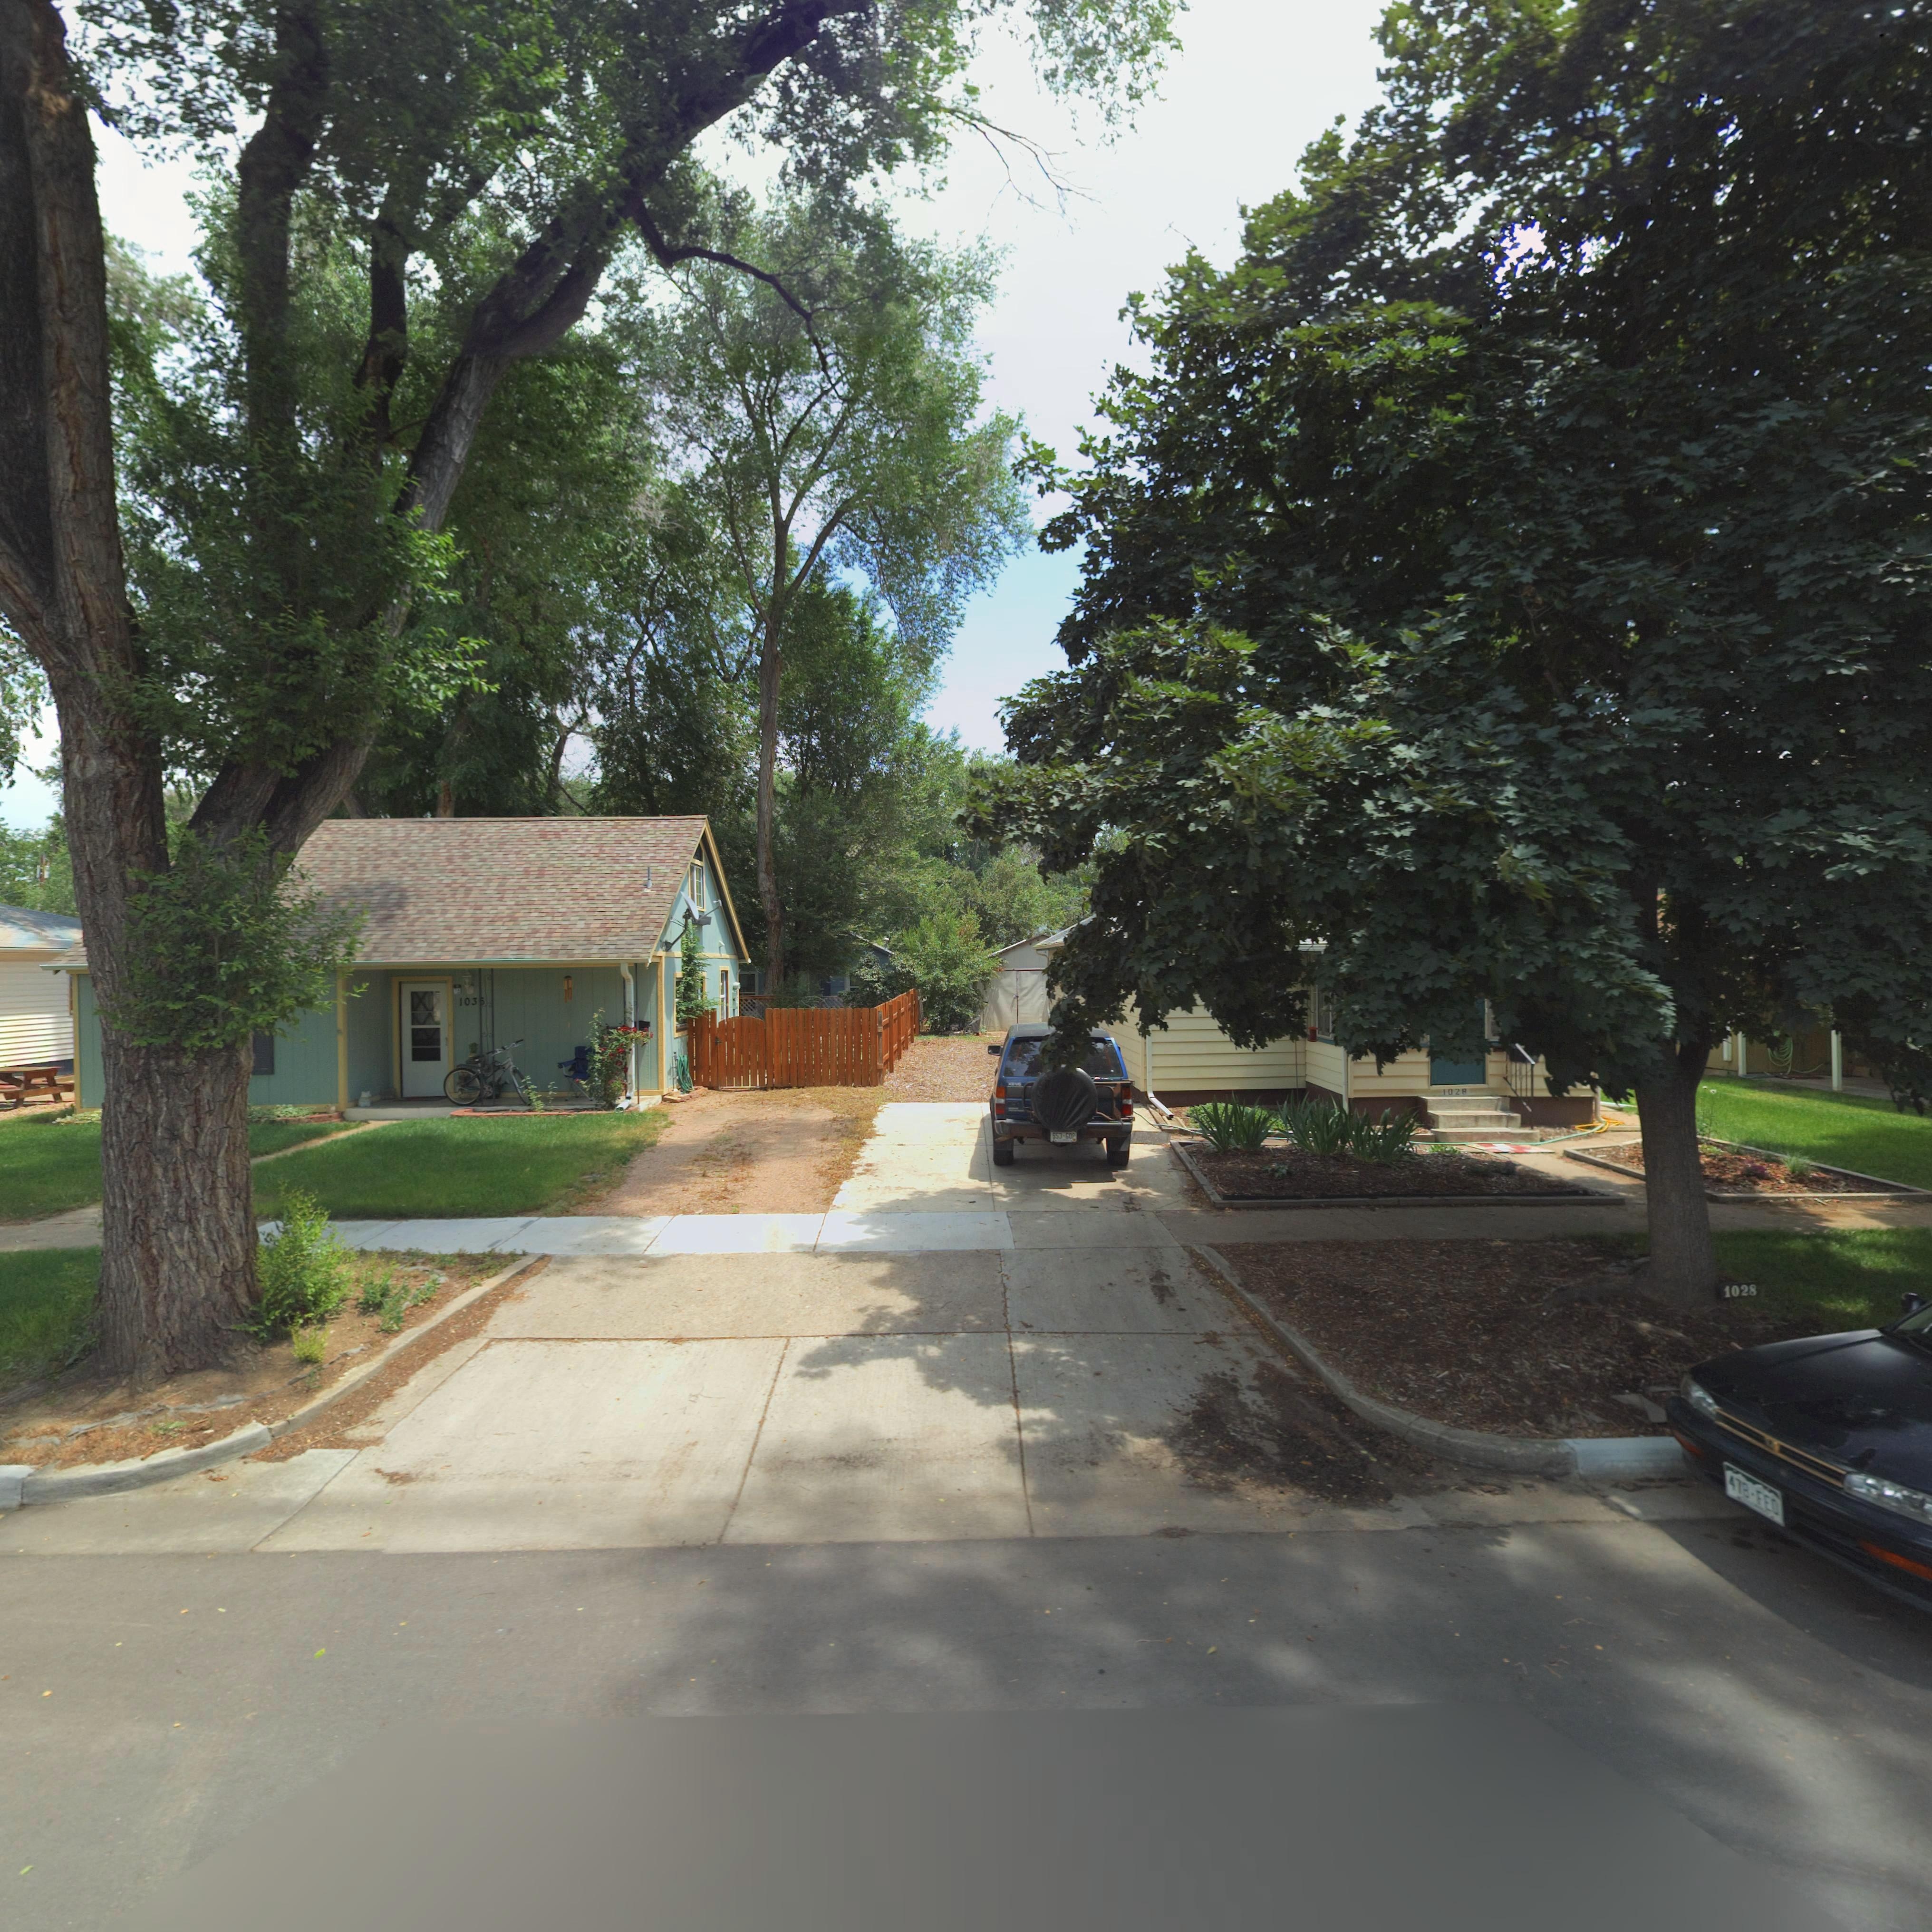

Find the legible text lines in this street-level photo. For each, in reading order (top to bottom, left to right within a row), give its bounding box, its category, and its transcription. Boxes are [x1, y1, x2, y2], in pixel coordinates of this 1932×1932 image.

[459, 996, 485, 1006] StreetNumber: 103*
[1442, 1088, 1466, 1095] StreetNumber: 1028
[1723, 1283, 1757, 1298] StreetNumber: 1028